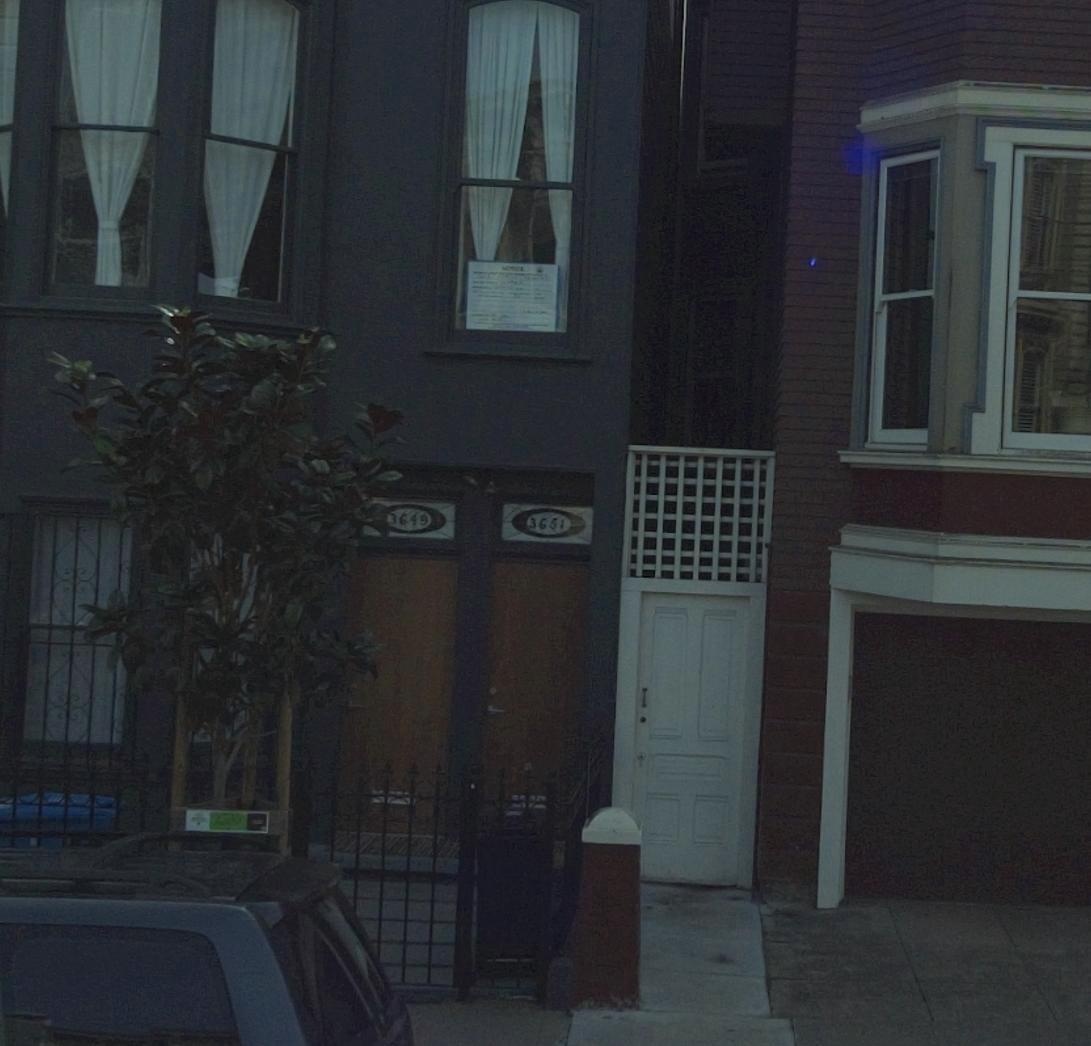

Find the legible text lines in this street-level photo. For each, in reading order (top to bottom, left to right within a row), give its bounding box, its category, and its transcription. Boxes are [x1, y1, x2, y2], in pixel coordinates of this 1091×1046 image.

[389, 513, 429, 526] StreetNumber: 3649
[528, 517, 565, 530] StreetNumber: 3651